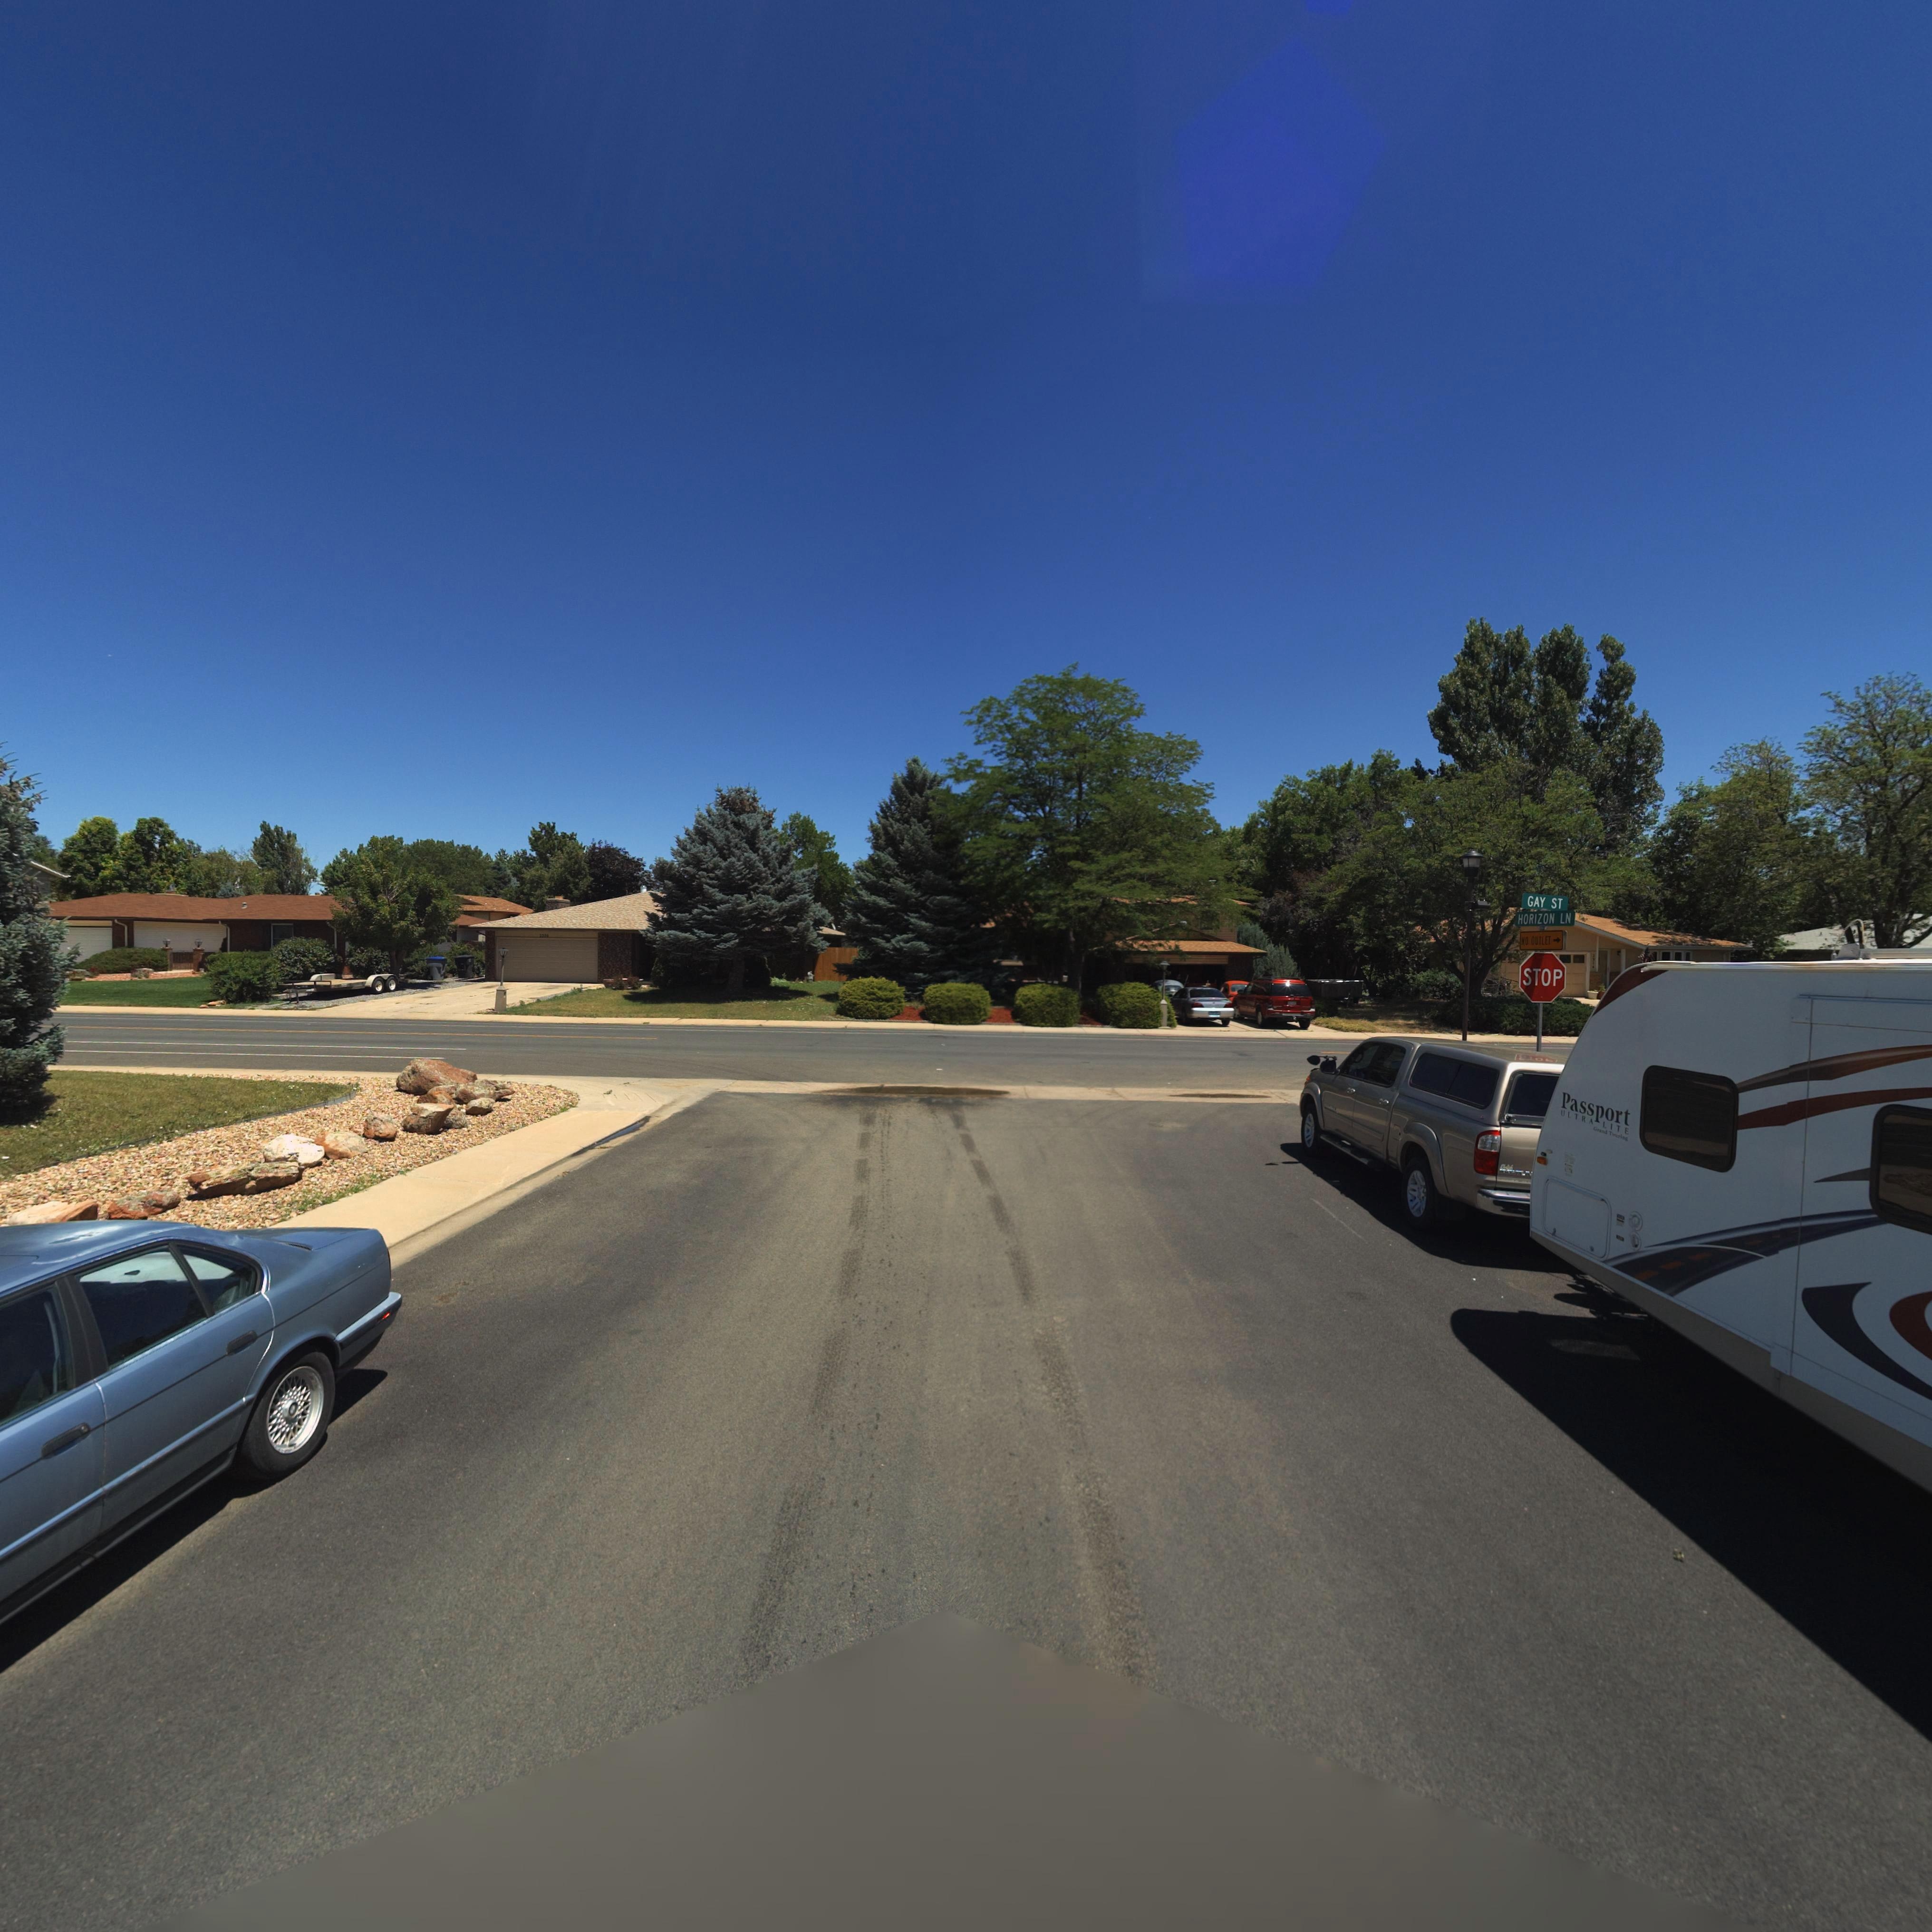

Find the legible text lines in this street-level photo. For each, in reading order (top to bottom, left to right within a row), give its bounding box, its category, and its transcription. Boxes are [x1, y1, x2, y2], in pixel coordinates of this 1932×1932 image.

[1527, 895, 1563, 909] StreetName: GAY ST
[1517, 912, 1571, 924] StreetName: HORIZON LN